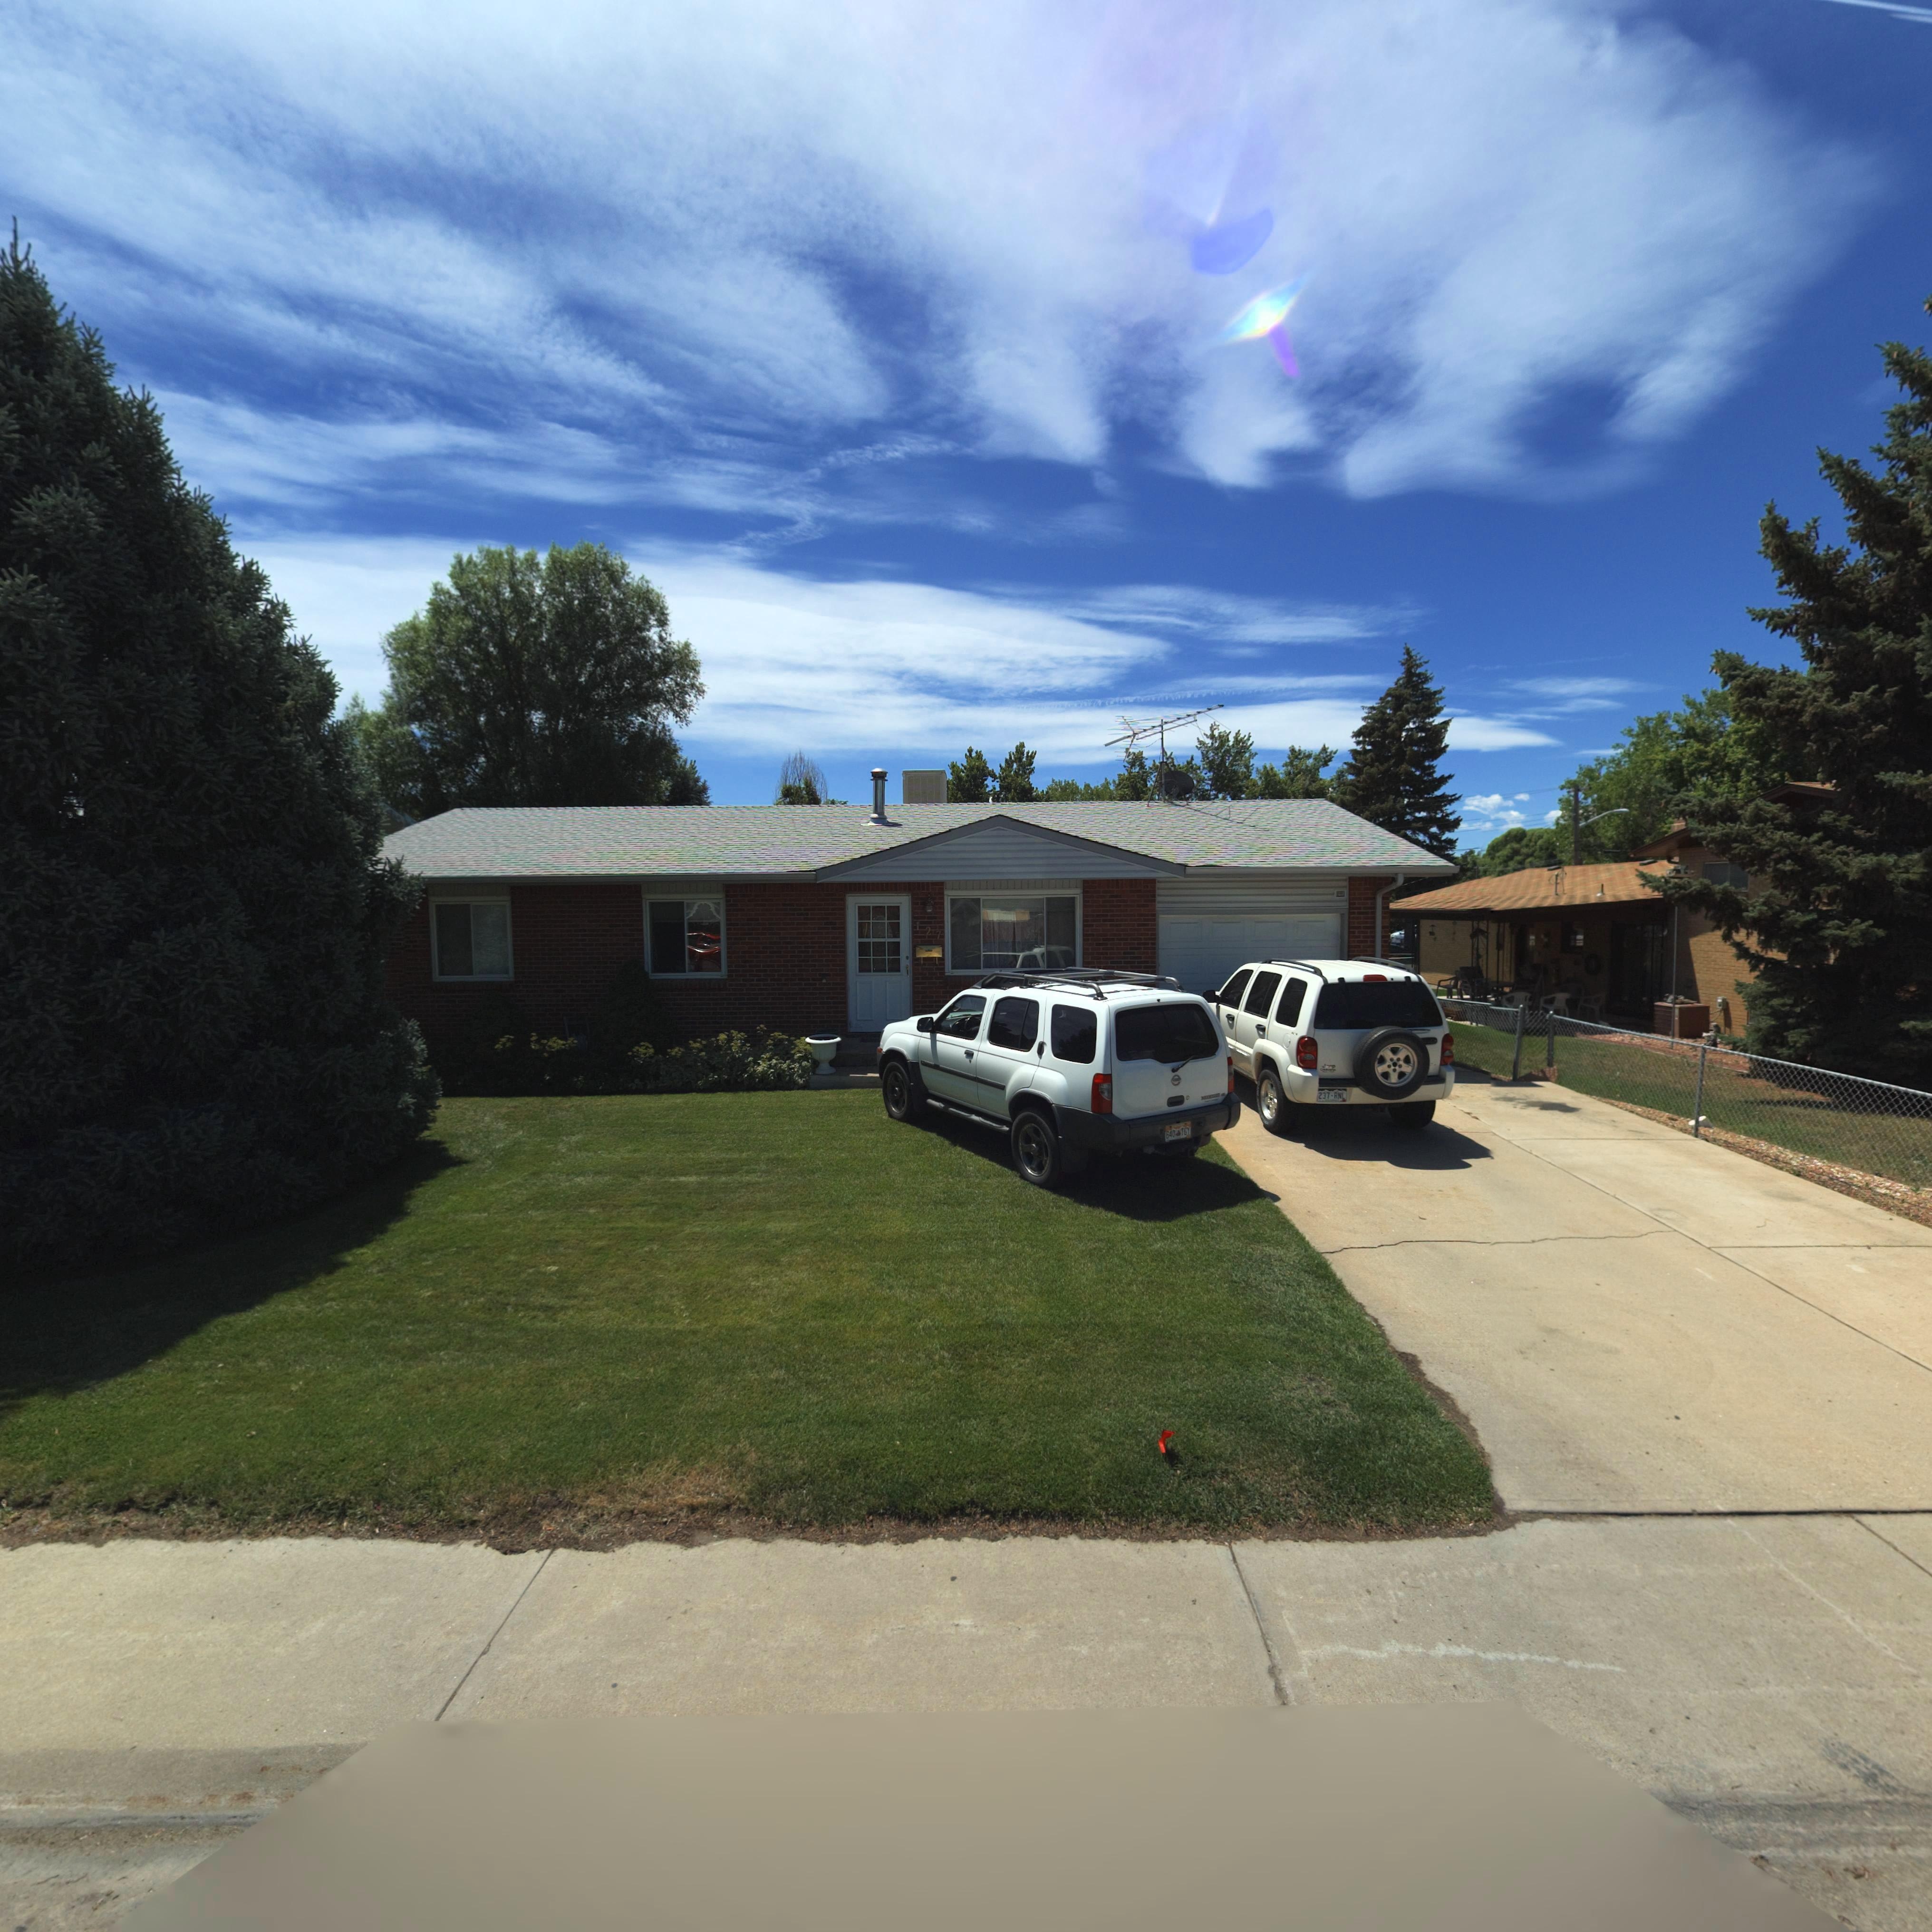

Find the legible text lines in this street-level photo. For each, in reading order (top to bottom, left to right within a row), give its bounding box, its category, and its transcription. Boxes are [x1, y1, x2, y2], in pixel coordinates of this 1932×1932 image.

[915, 920, 942, 941] StreetNumber: 127